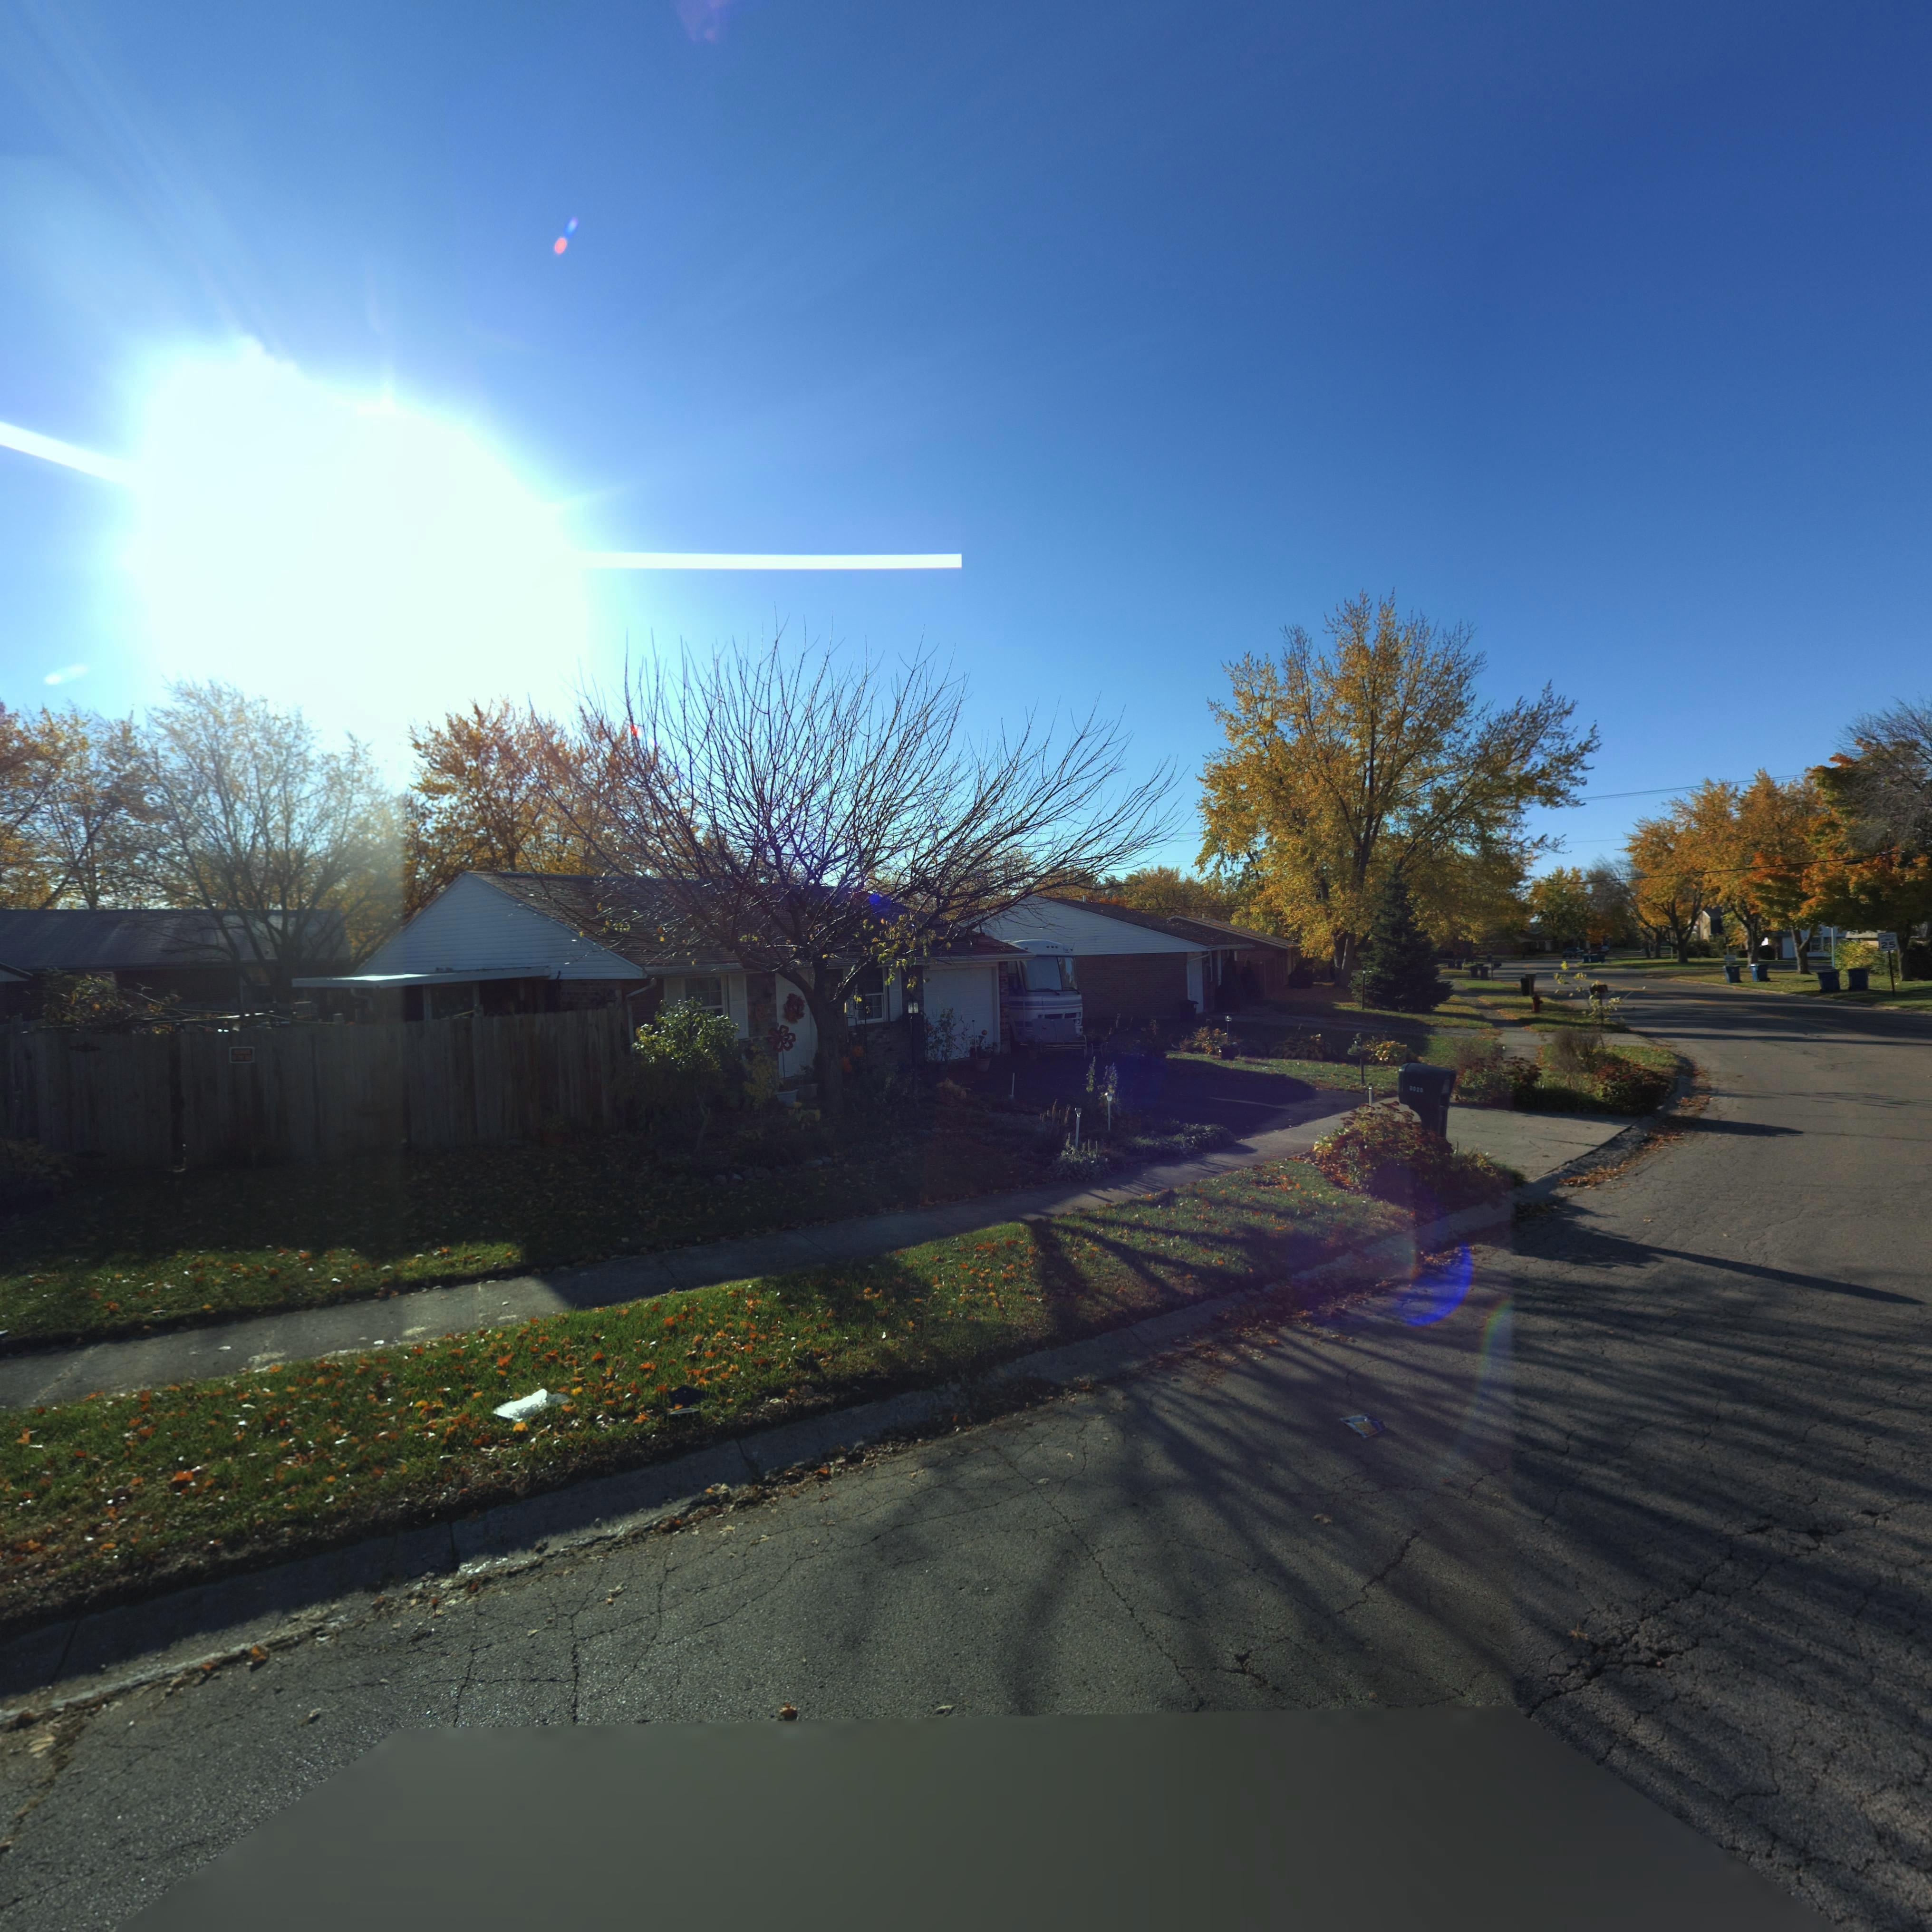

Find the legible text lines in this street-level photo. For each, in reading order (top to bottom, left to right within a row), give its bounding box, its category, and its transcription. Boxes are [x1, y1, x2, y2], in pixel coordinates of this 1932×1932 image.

[921, 965, 930, 970] StreetNumber: **2*
[1409, 1085, 1424, 1093] StreetNumber: 8020